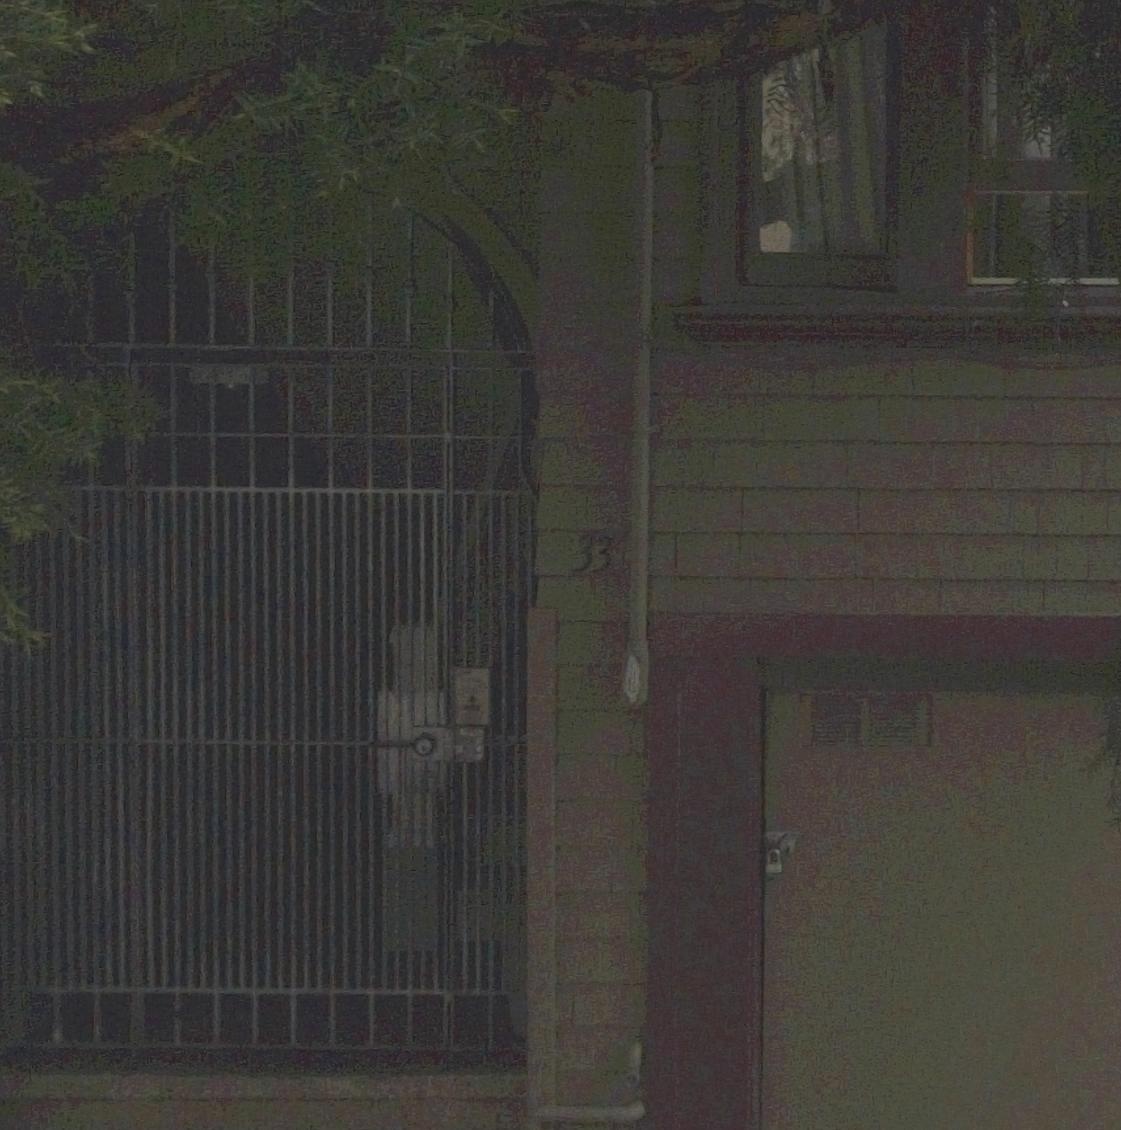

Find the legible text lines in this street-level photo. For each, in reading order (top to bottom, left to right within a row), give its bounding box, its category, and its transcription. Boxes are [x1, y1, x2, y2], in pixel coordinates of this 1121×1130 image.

[575, 532, 612, 573] StreetNumber: 33